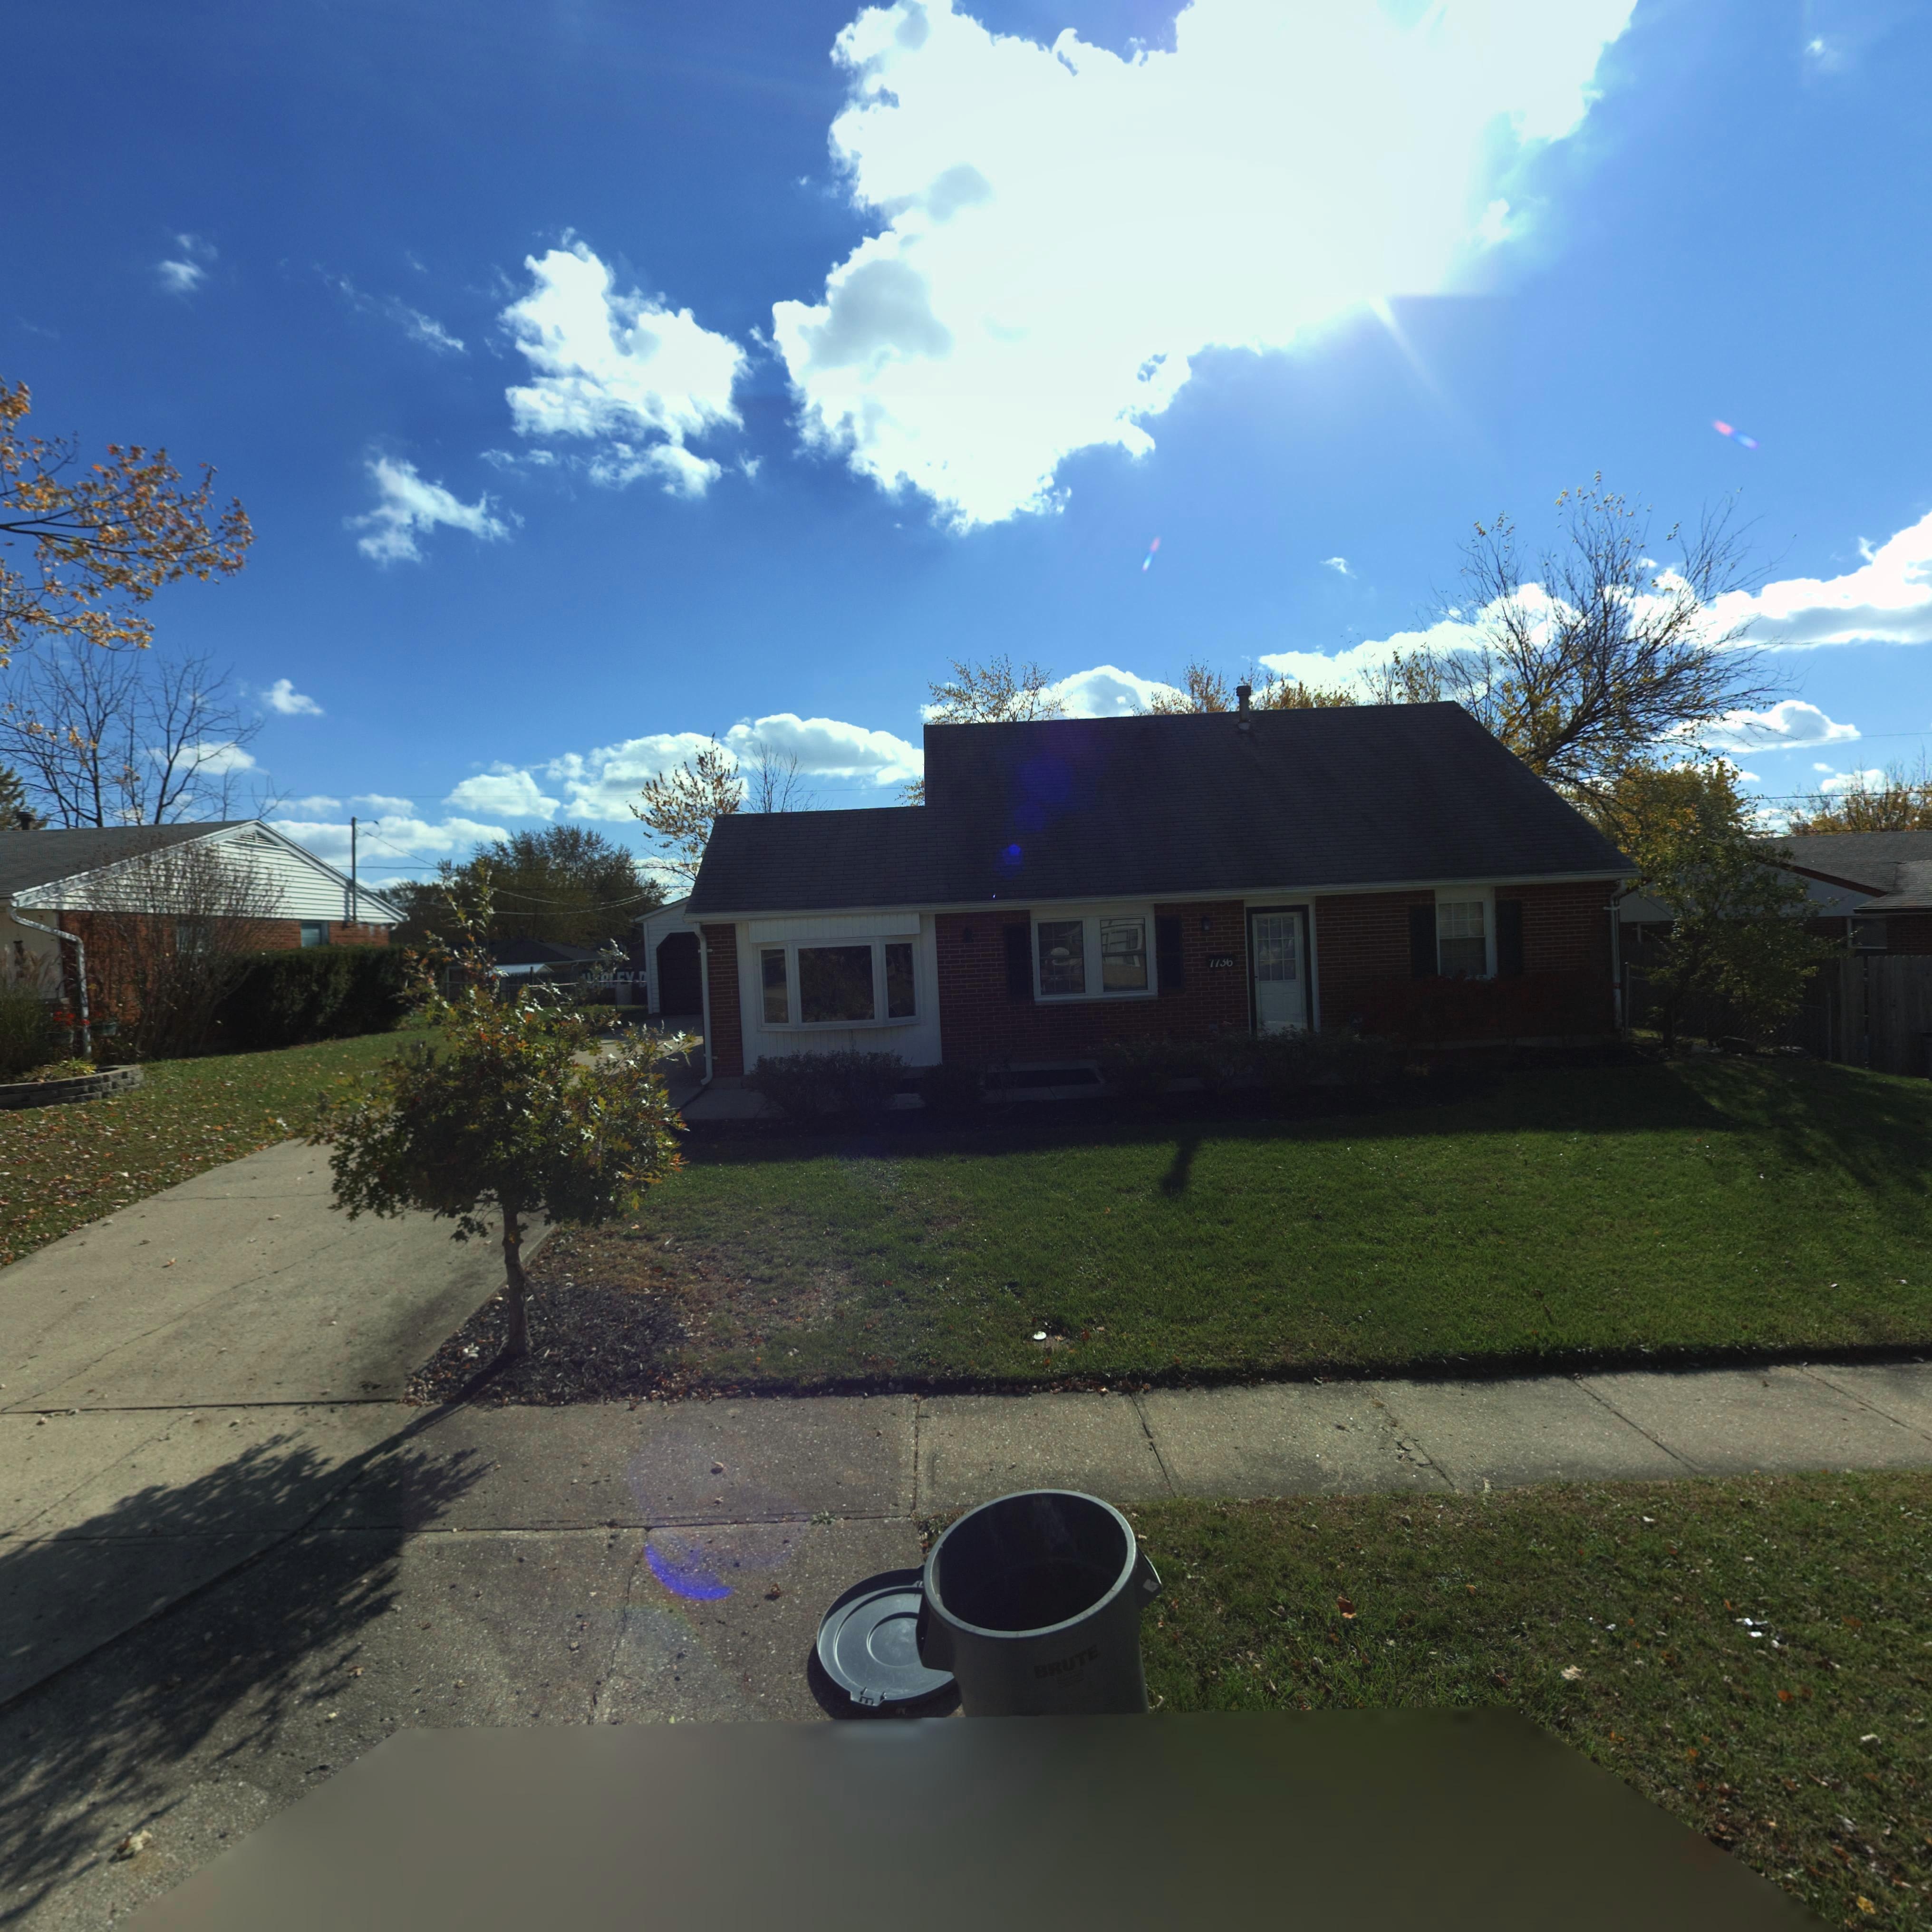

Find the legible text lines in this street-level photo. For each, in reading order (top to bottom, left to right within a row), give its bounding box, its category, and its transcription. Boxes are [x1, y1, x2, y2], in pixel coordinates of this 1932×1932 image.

[1208, 957, 1234, 968] StreetNumber: 7736